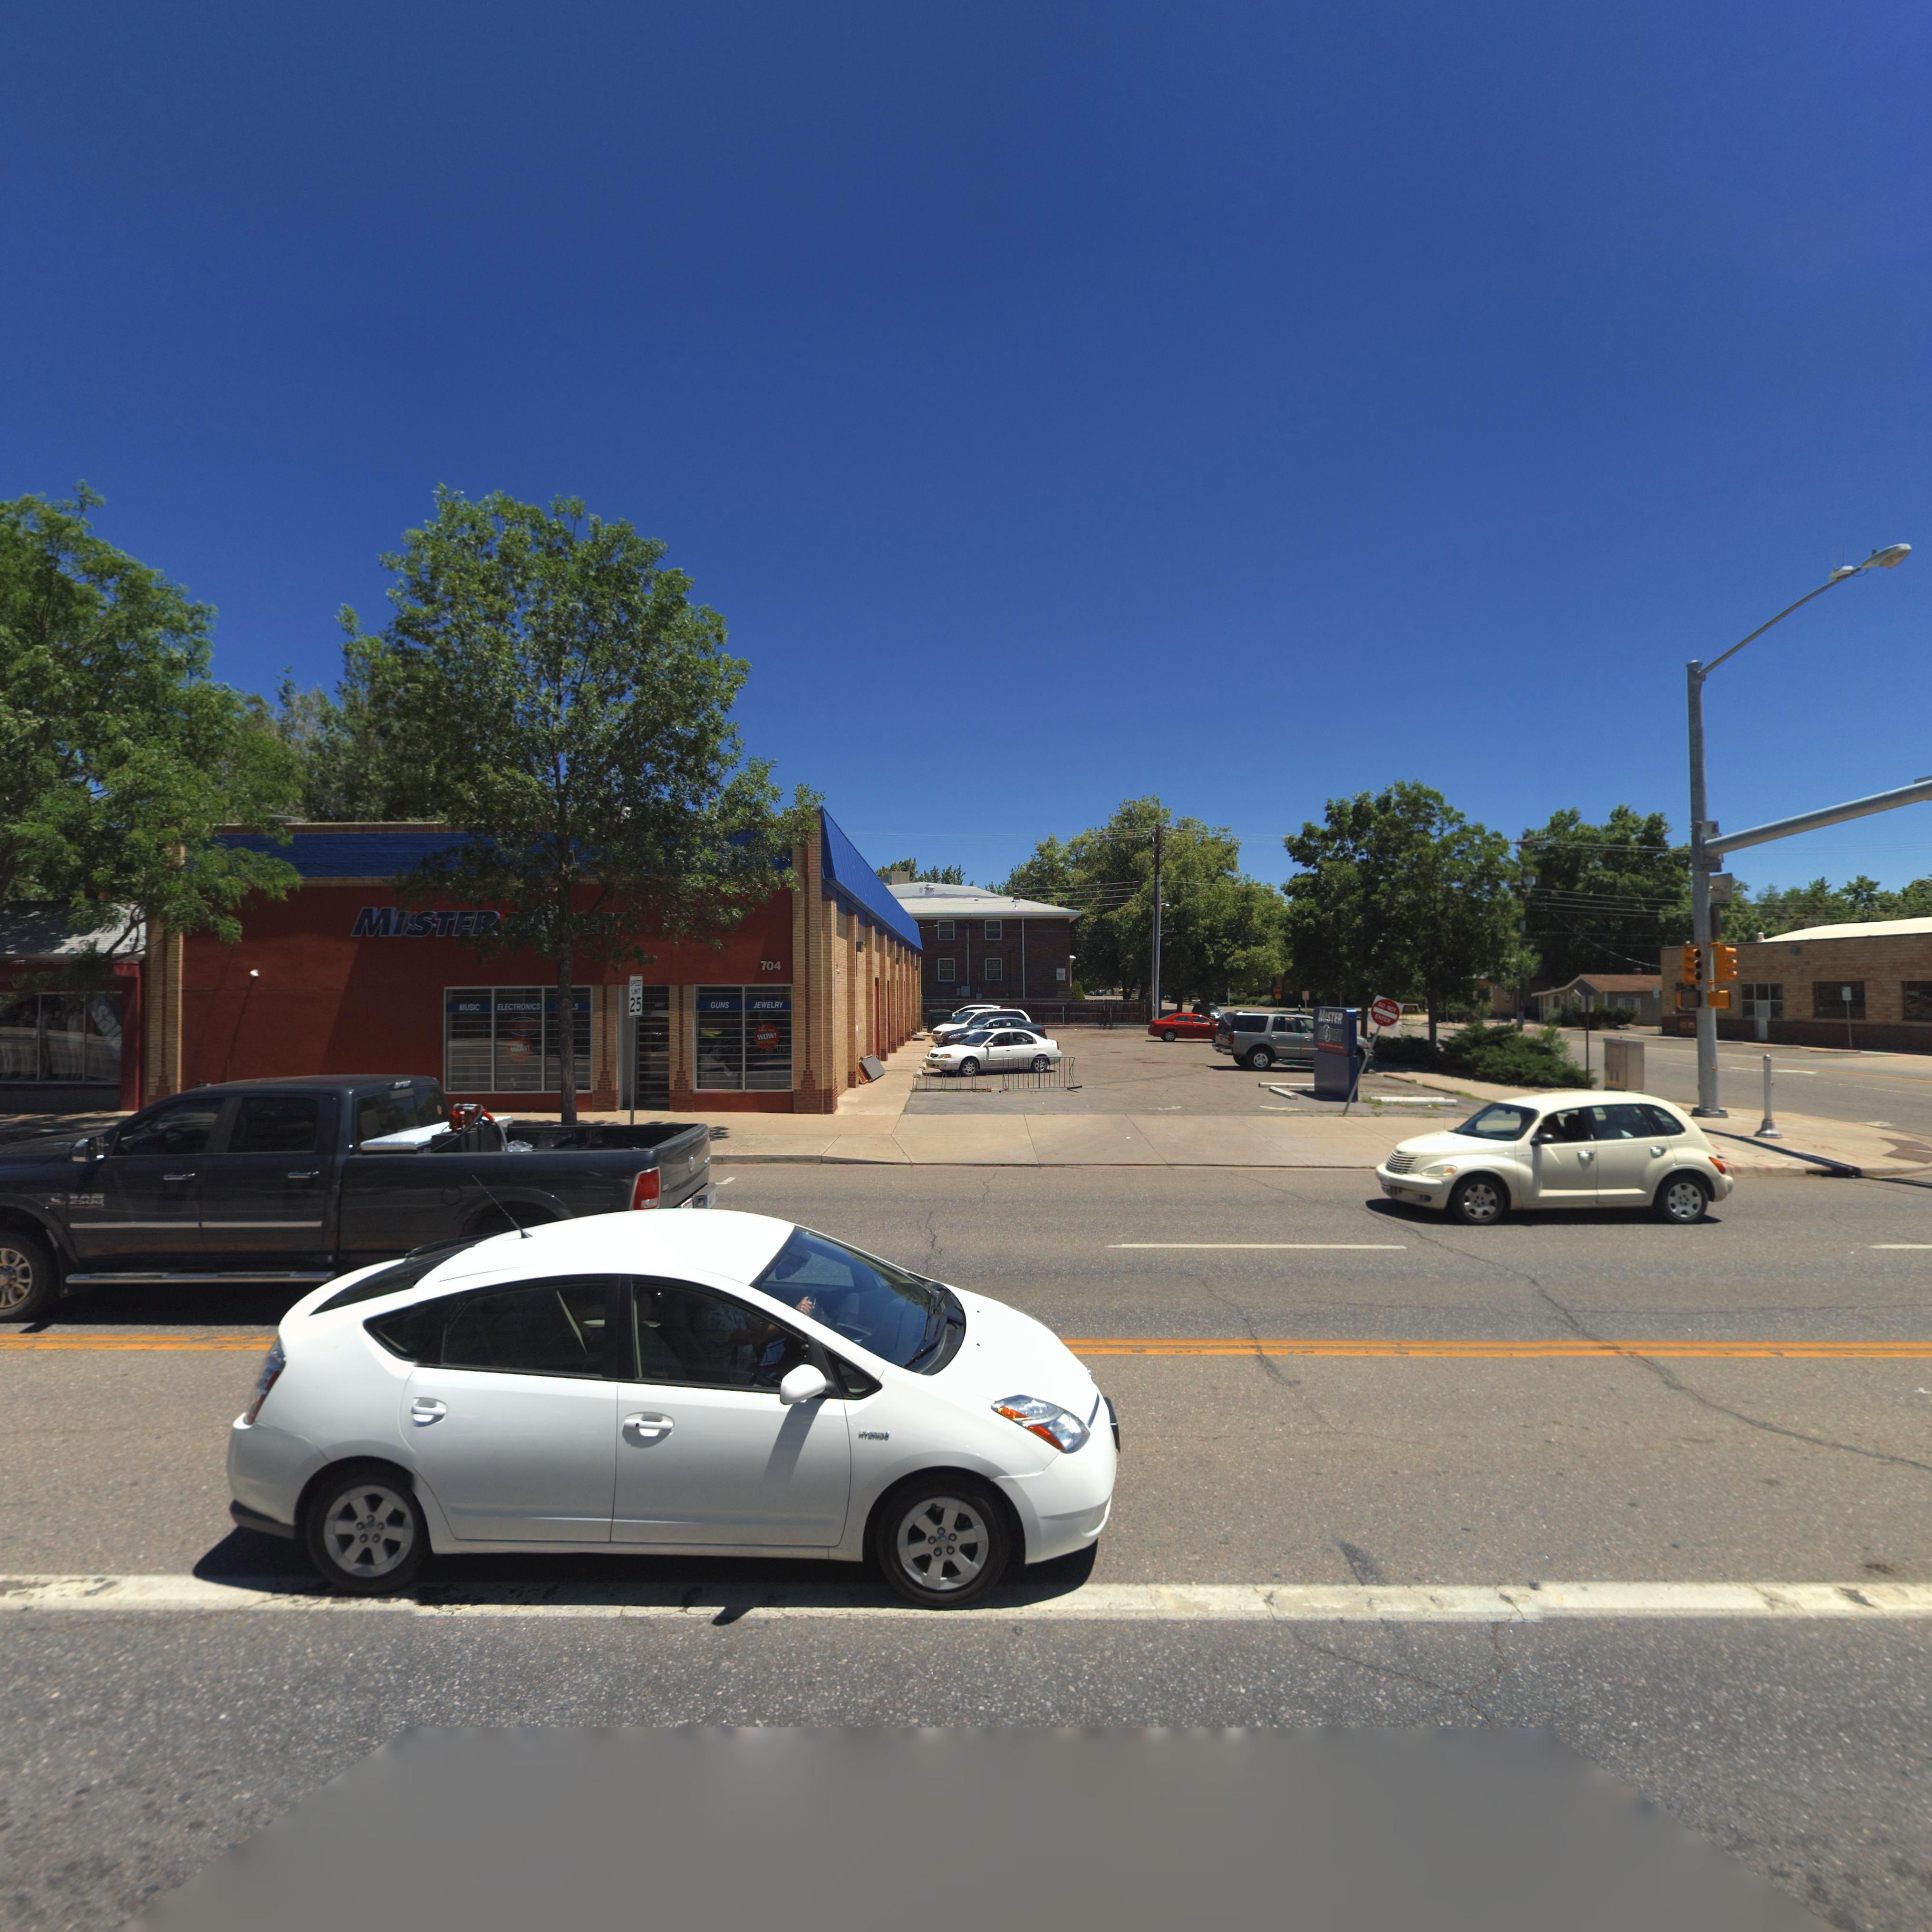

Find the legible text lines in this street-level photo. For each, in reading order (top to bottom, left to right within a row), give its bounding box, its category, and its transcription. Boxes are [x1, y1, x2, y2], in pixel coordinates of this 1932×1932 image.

[346, 903, 626, 937] BusinessName: MIS*STER ***EY
[761, 961, 781, 970] StreetNumber: 704
[655, 1002, 665, 1006] StreetNumber: 704
[1318, 1009, 1343, 1024] BusinessName: MISTER
[1317, 1024, 1343, 1042] BusinessName: M*NEY